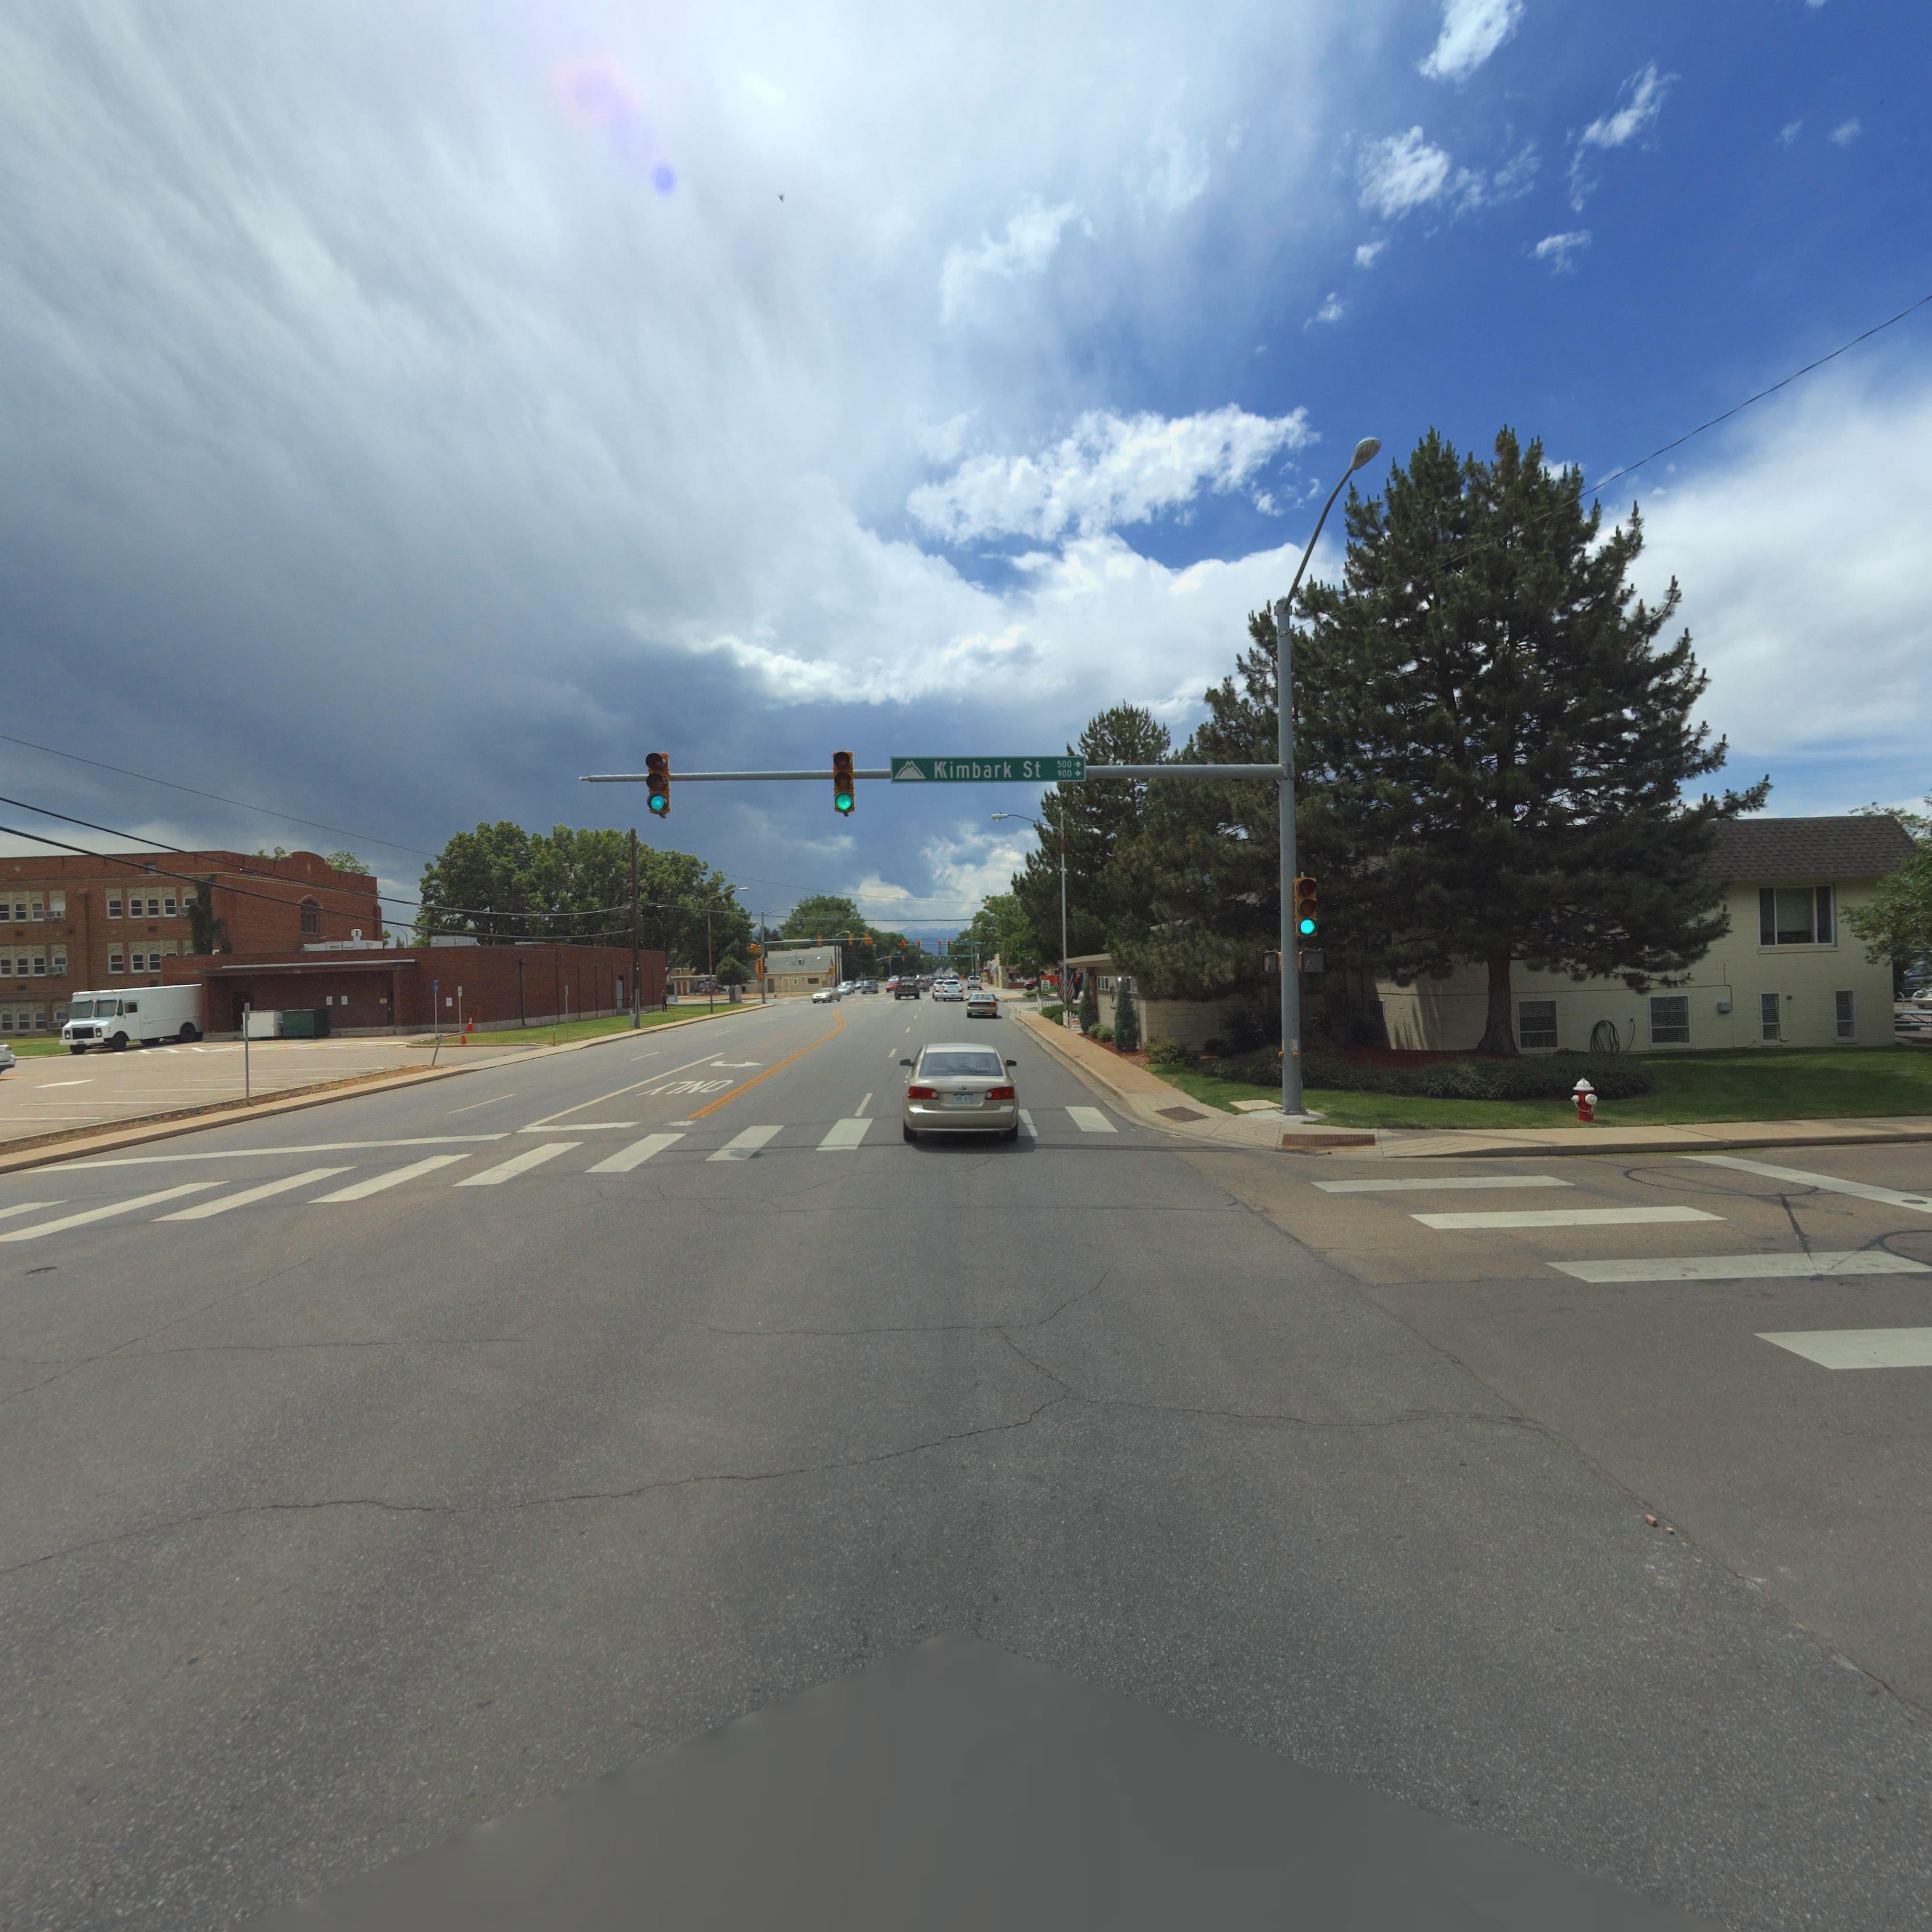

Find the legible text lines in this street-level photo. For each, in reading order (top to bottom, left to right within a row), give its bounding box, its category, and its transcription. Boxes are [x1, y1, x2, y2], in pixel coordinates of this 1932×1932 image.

[1056, 760, 1071, 767] StreetNumberRange: 500
[934, 760, 1042, 778] StreetName: K*imbark St
[1057, 769, 1081, 777] StreetNumberRange: 900 ->